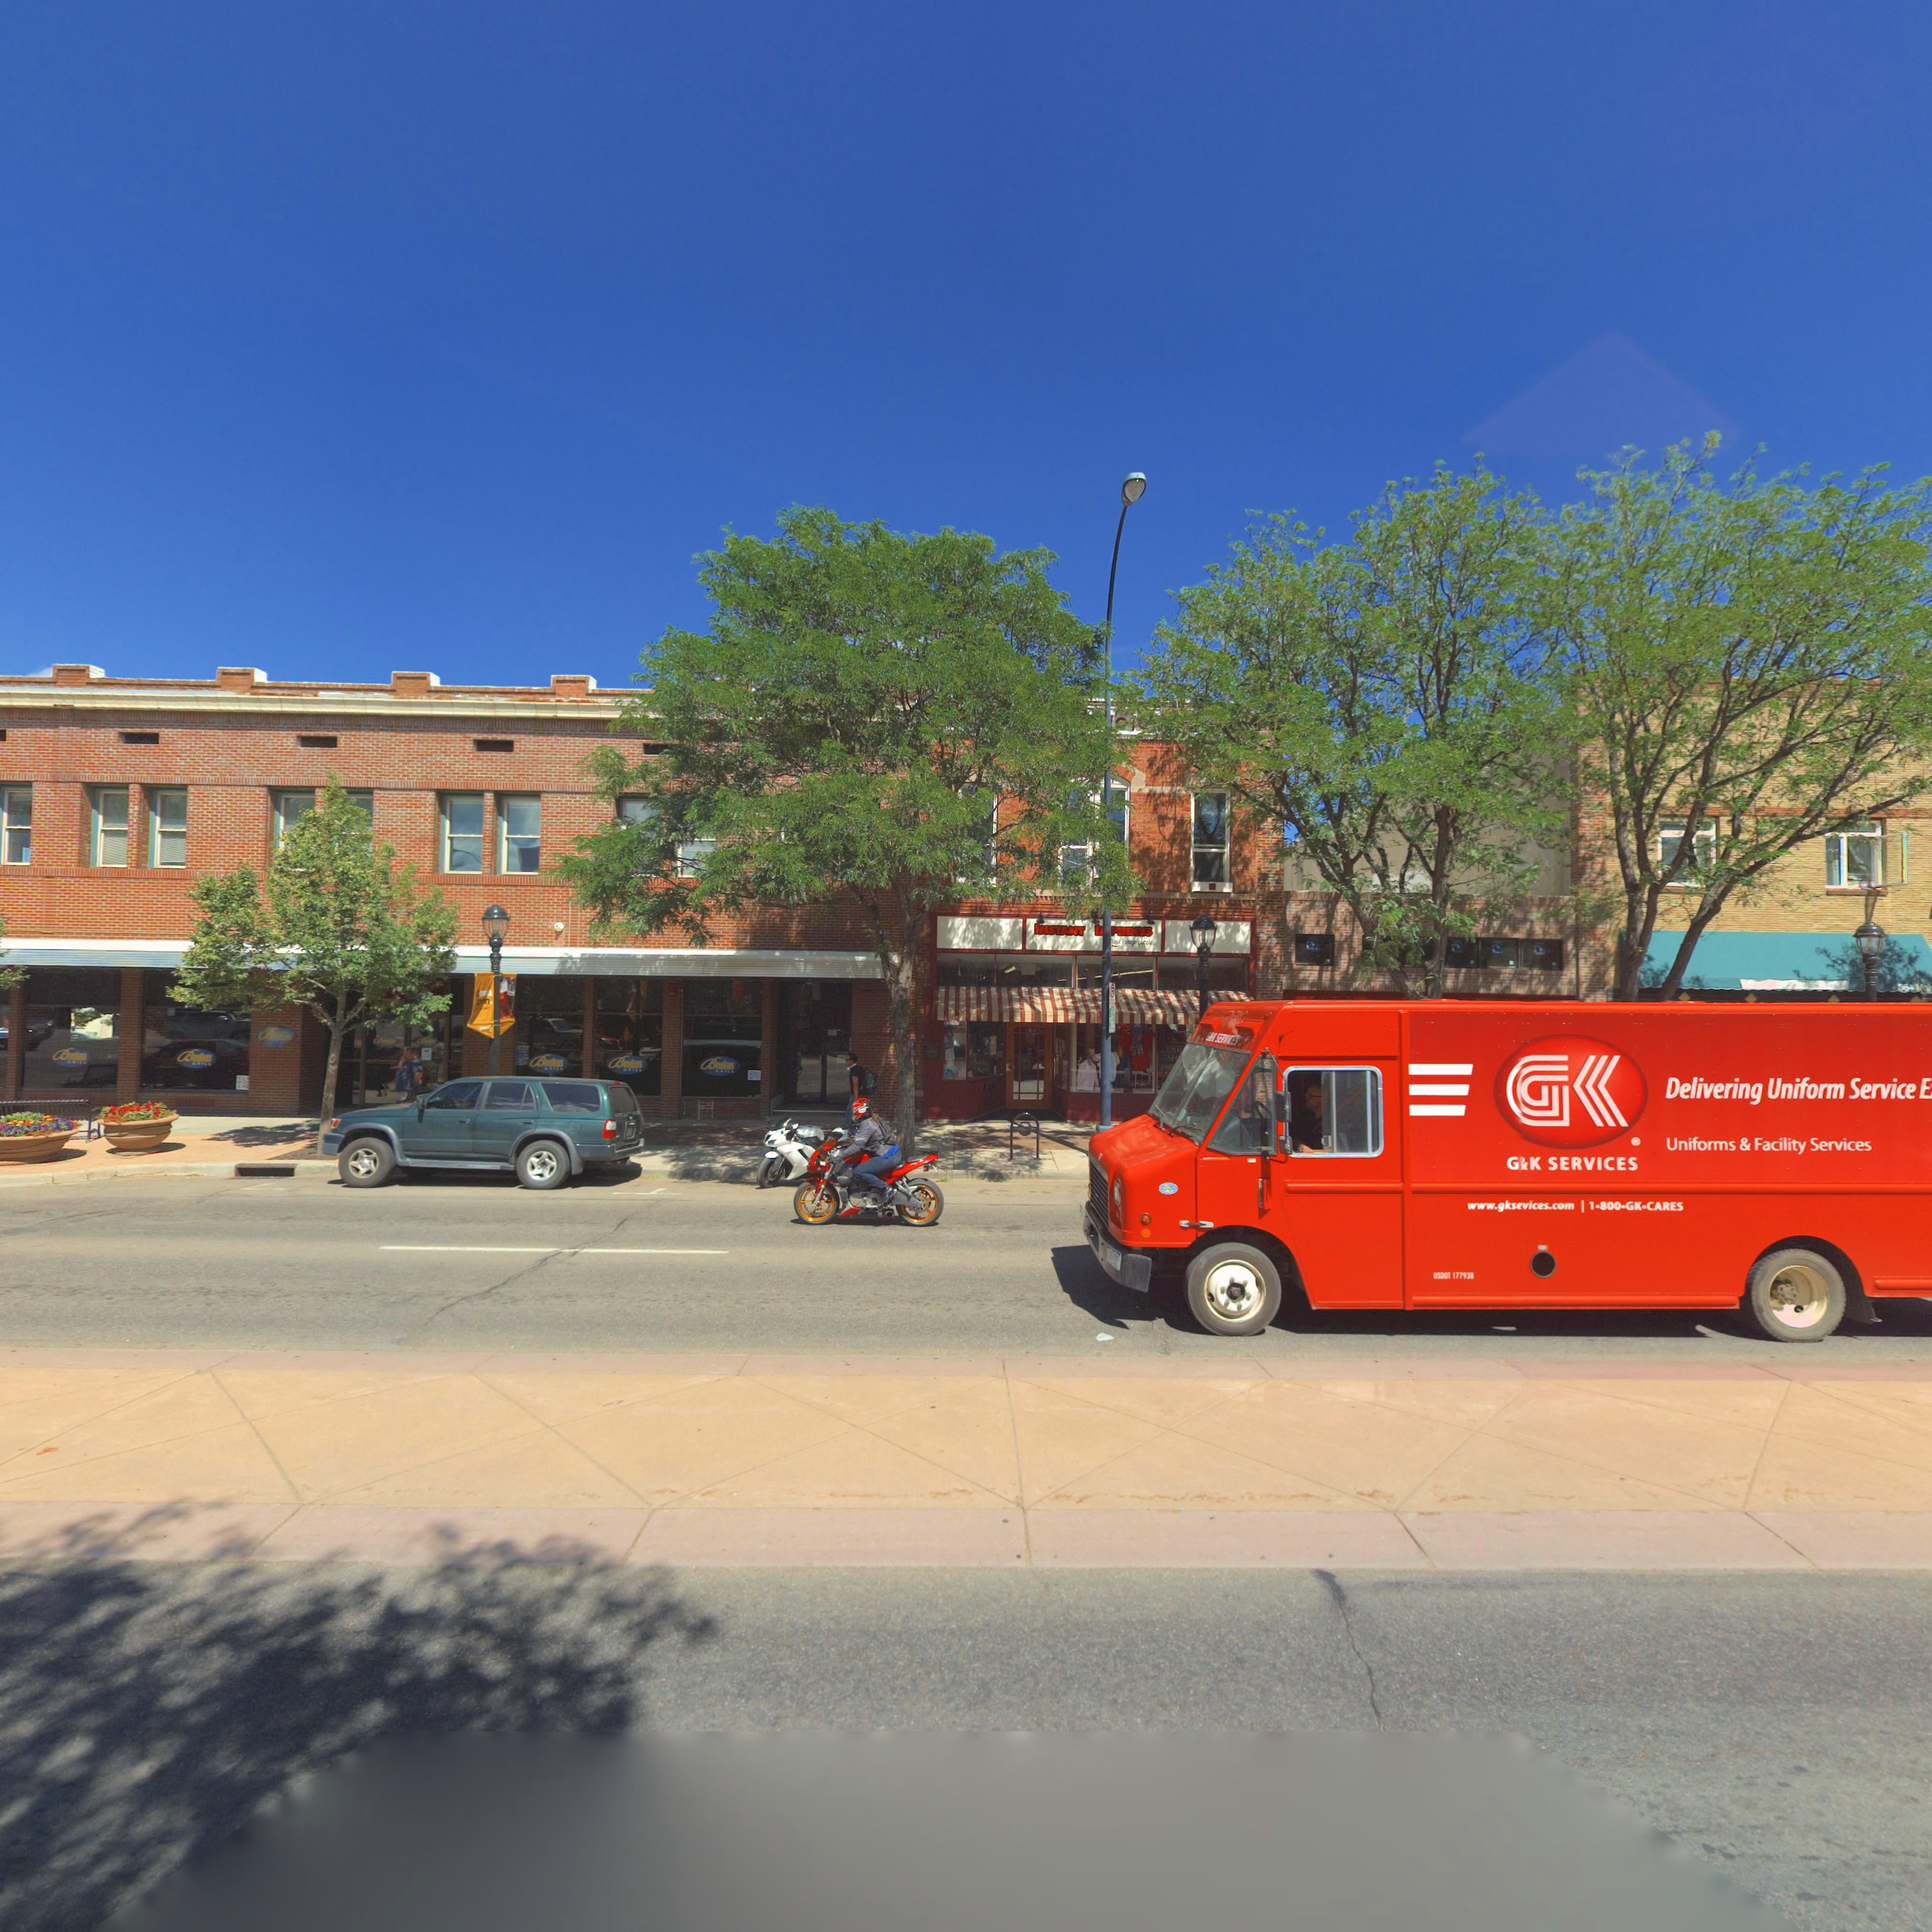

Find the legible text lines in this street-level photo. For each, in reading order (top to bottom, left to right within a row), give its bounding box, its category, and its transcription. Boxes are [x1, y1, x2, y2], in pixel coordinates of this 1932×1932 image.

[1033, 922, 1153, 937] BusinessName: INSTANT I*PRINTS
[58, 1049, 88, 1061] BusinessName: Bre*kers
[182, 1050, 212, 1062] BusinessName: Breakers
[191, 1061, 212, 1065] BusinessName: GRILL
[535, 1055, 563, 1067] BusinessName: Breakers
[614, 1057, 642, 1068] BusinessName: Breakers
[706, 1058, 734, 1070] BusinessName: Breakers 
[715, 1069, 734, 1073] BusinessName: GRILL